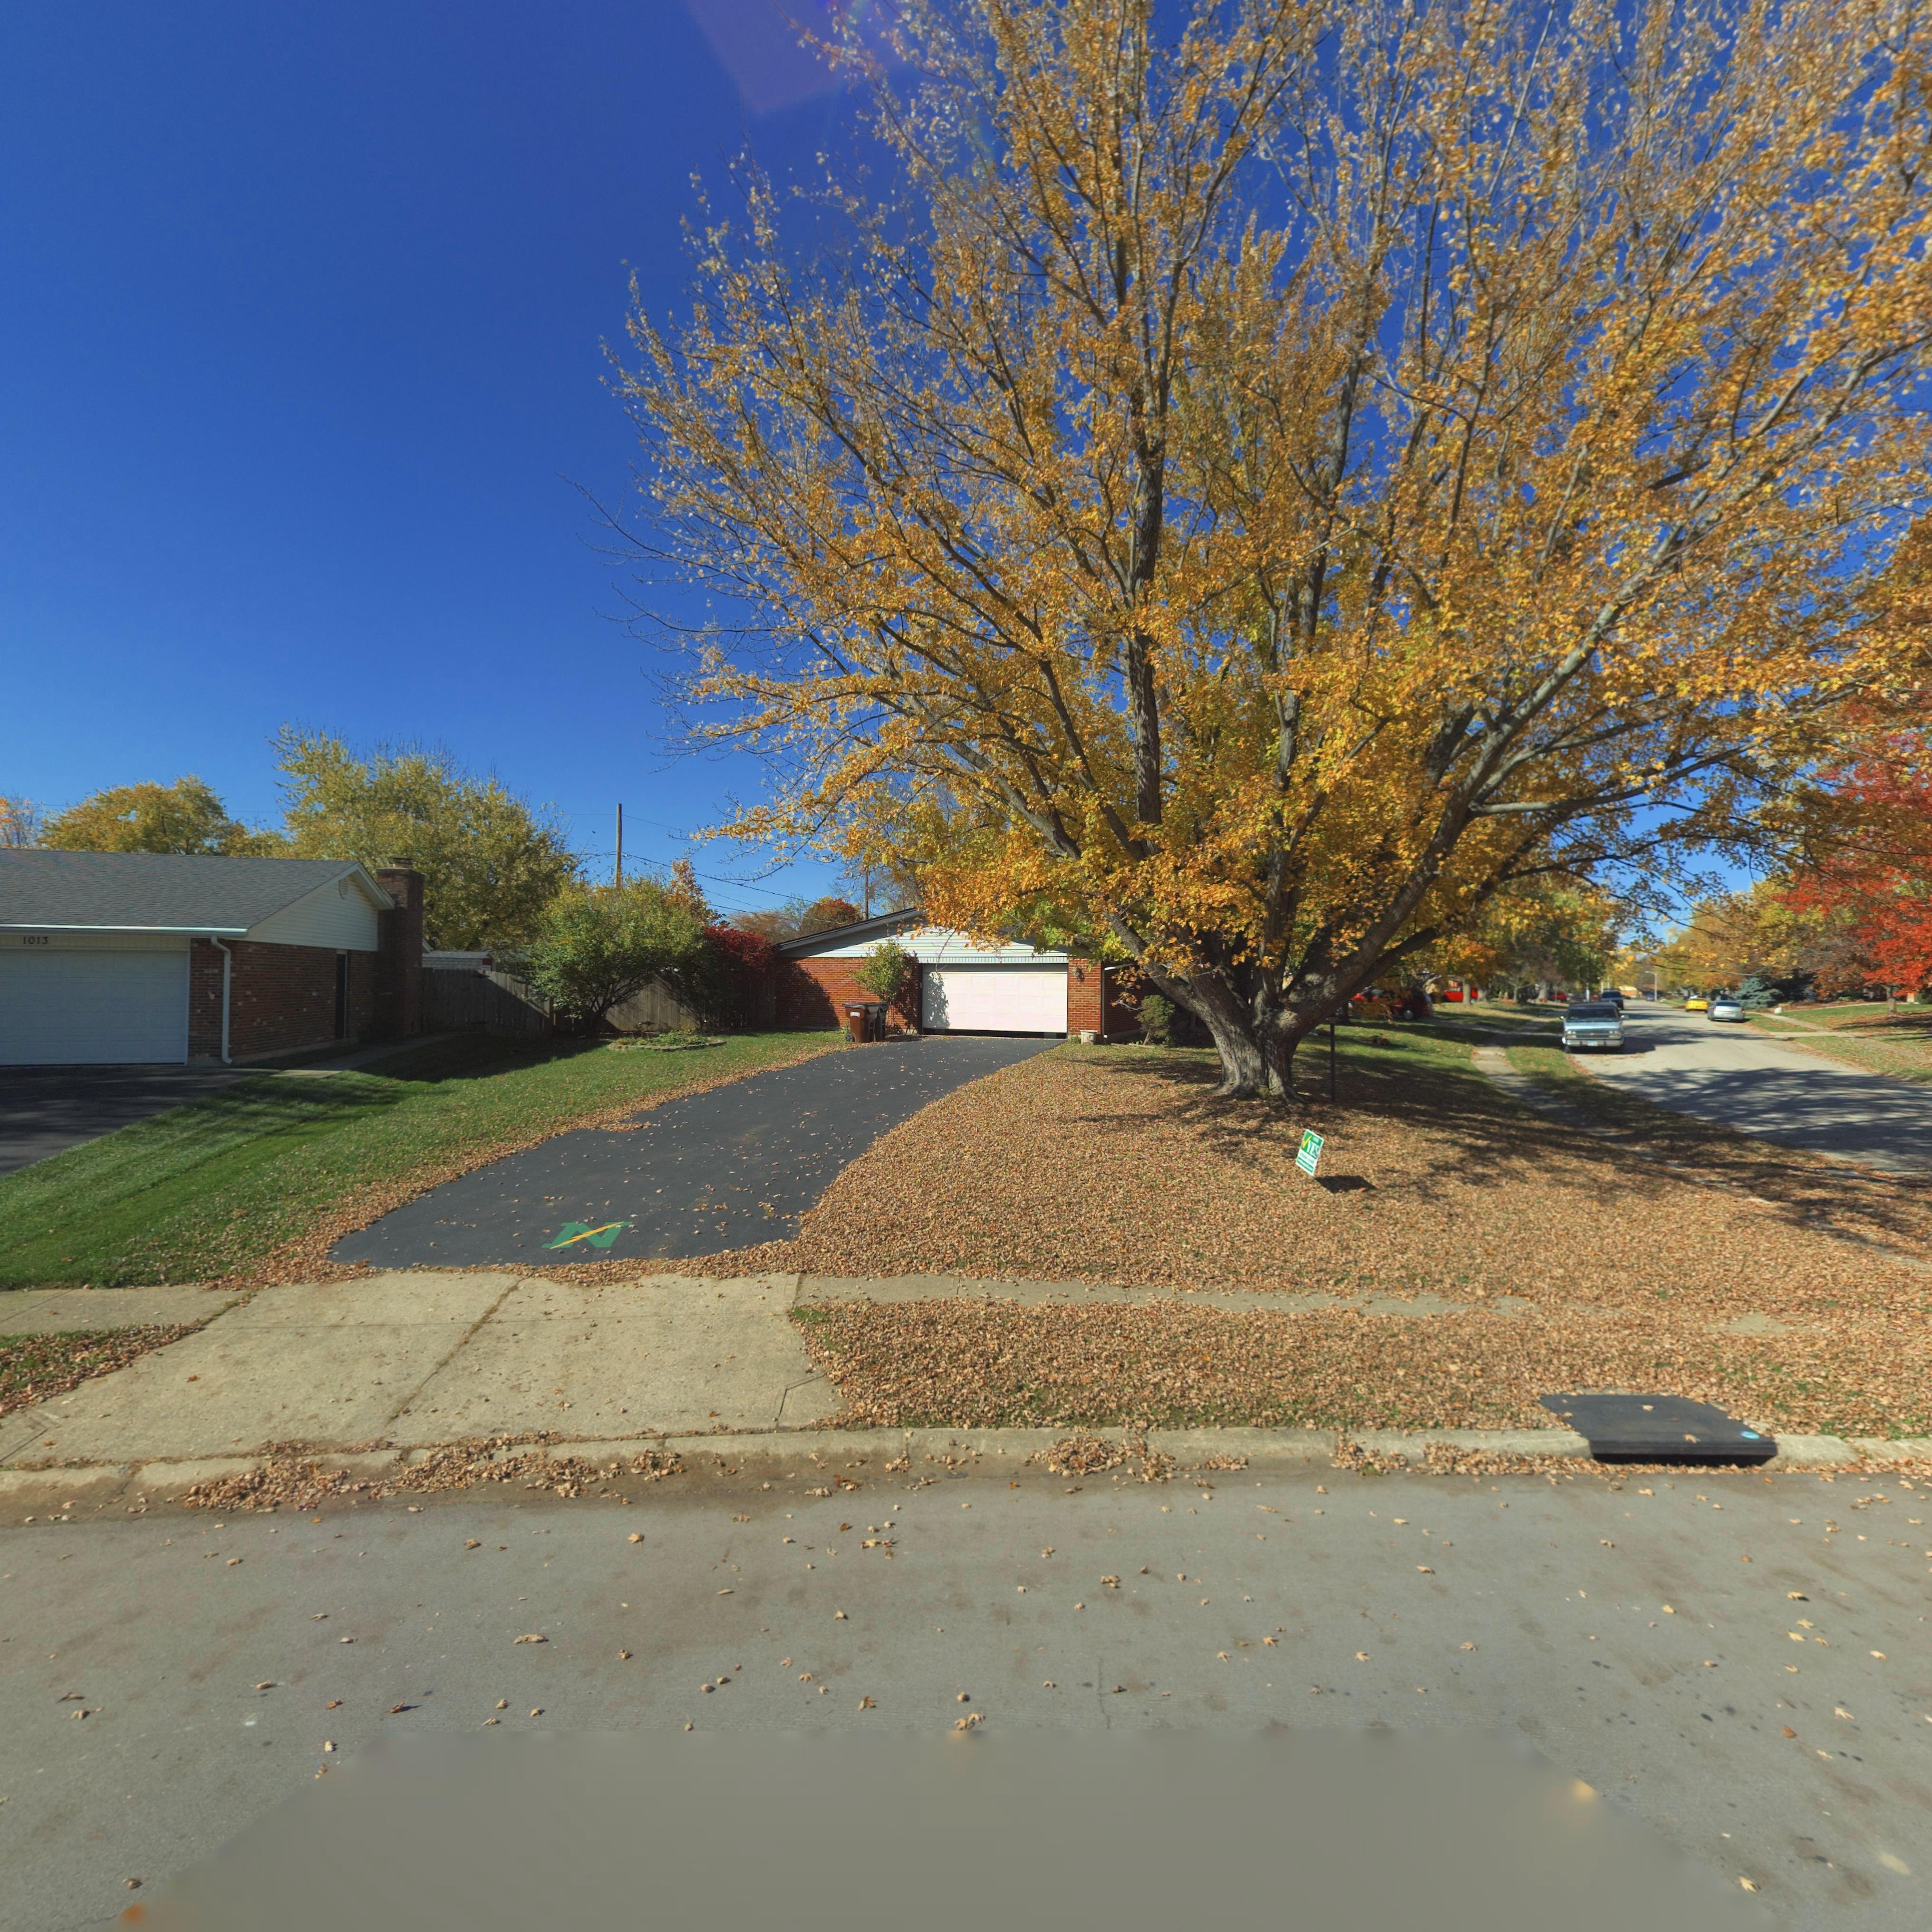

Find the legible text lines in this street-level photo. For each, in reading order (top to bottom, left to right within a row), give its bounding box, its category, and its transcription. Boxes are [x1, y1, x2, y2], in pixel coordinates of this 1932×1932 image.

[22, 936, 48, 945] StreetNumber: 1013
[1305, 1139, 1322, 1159] None: YES